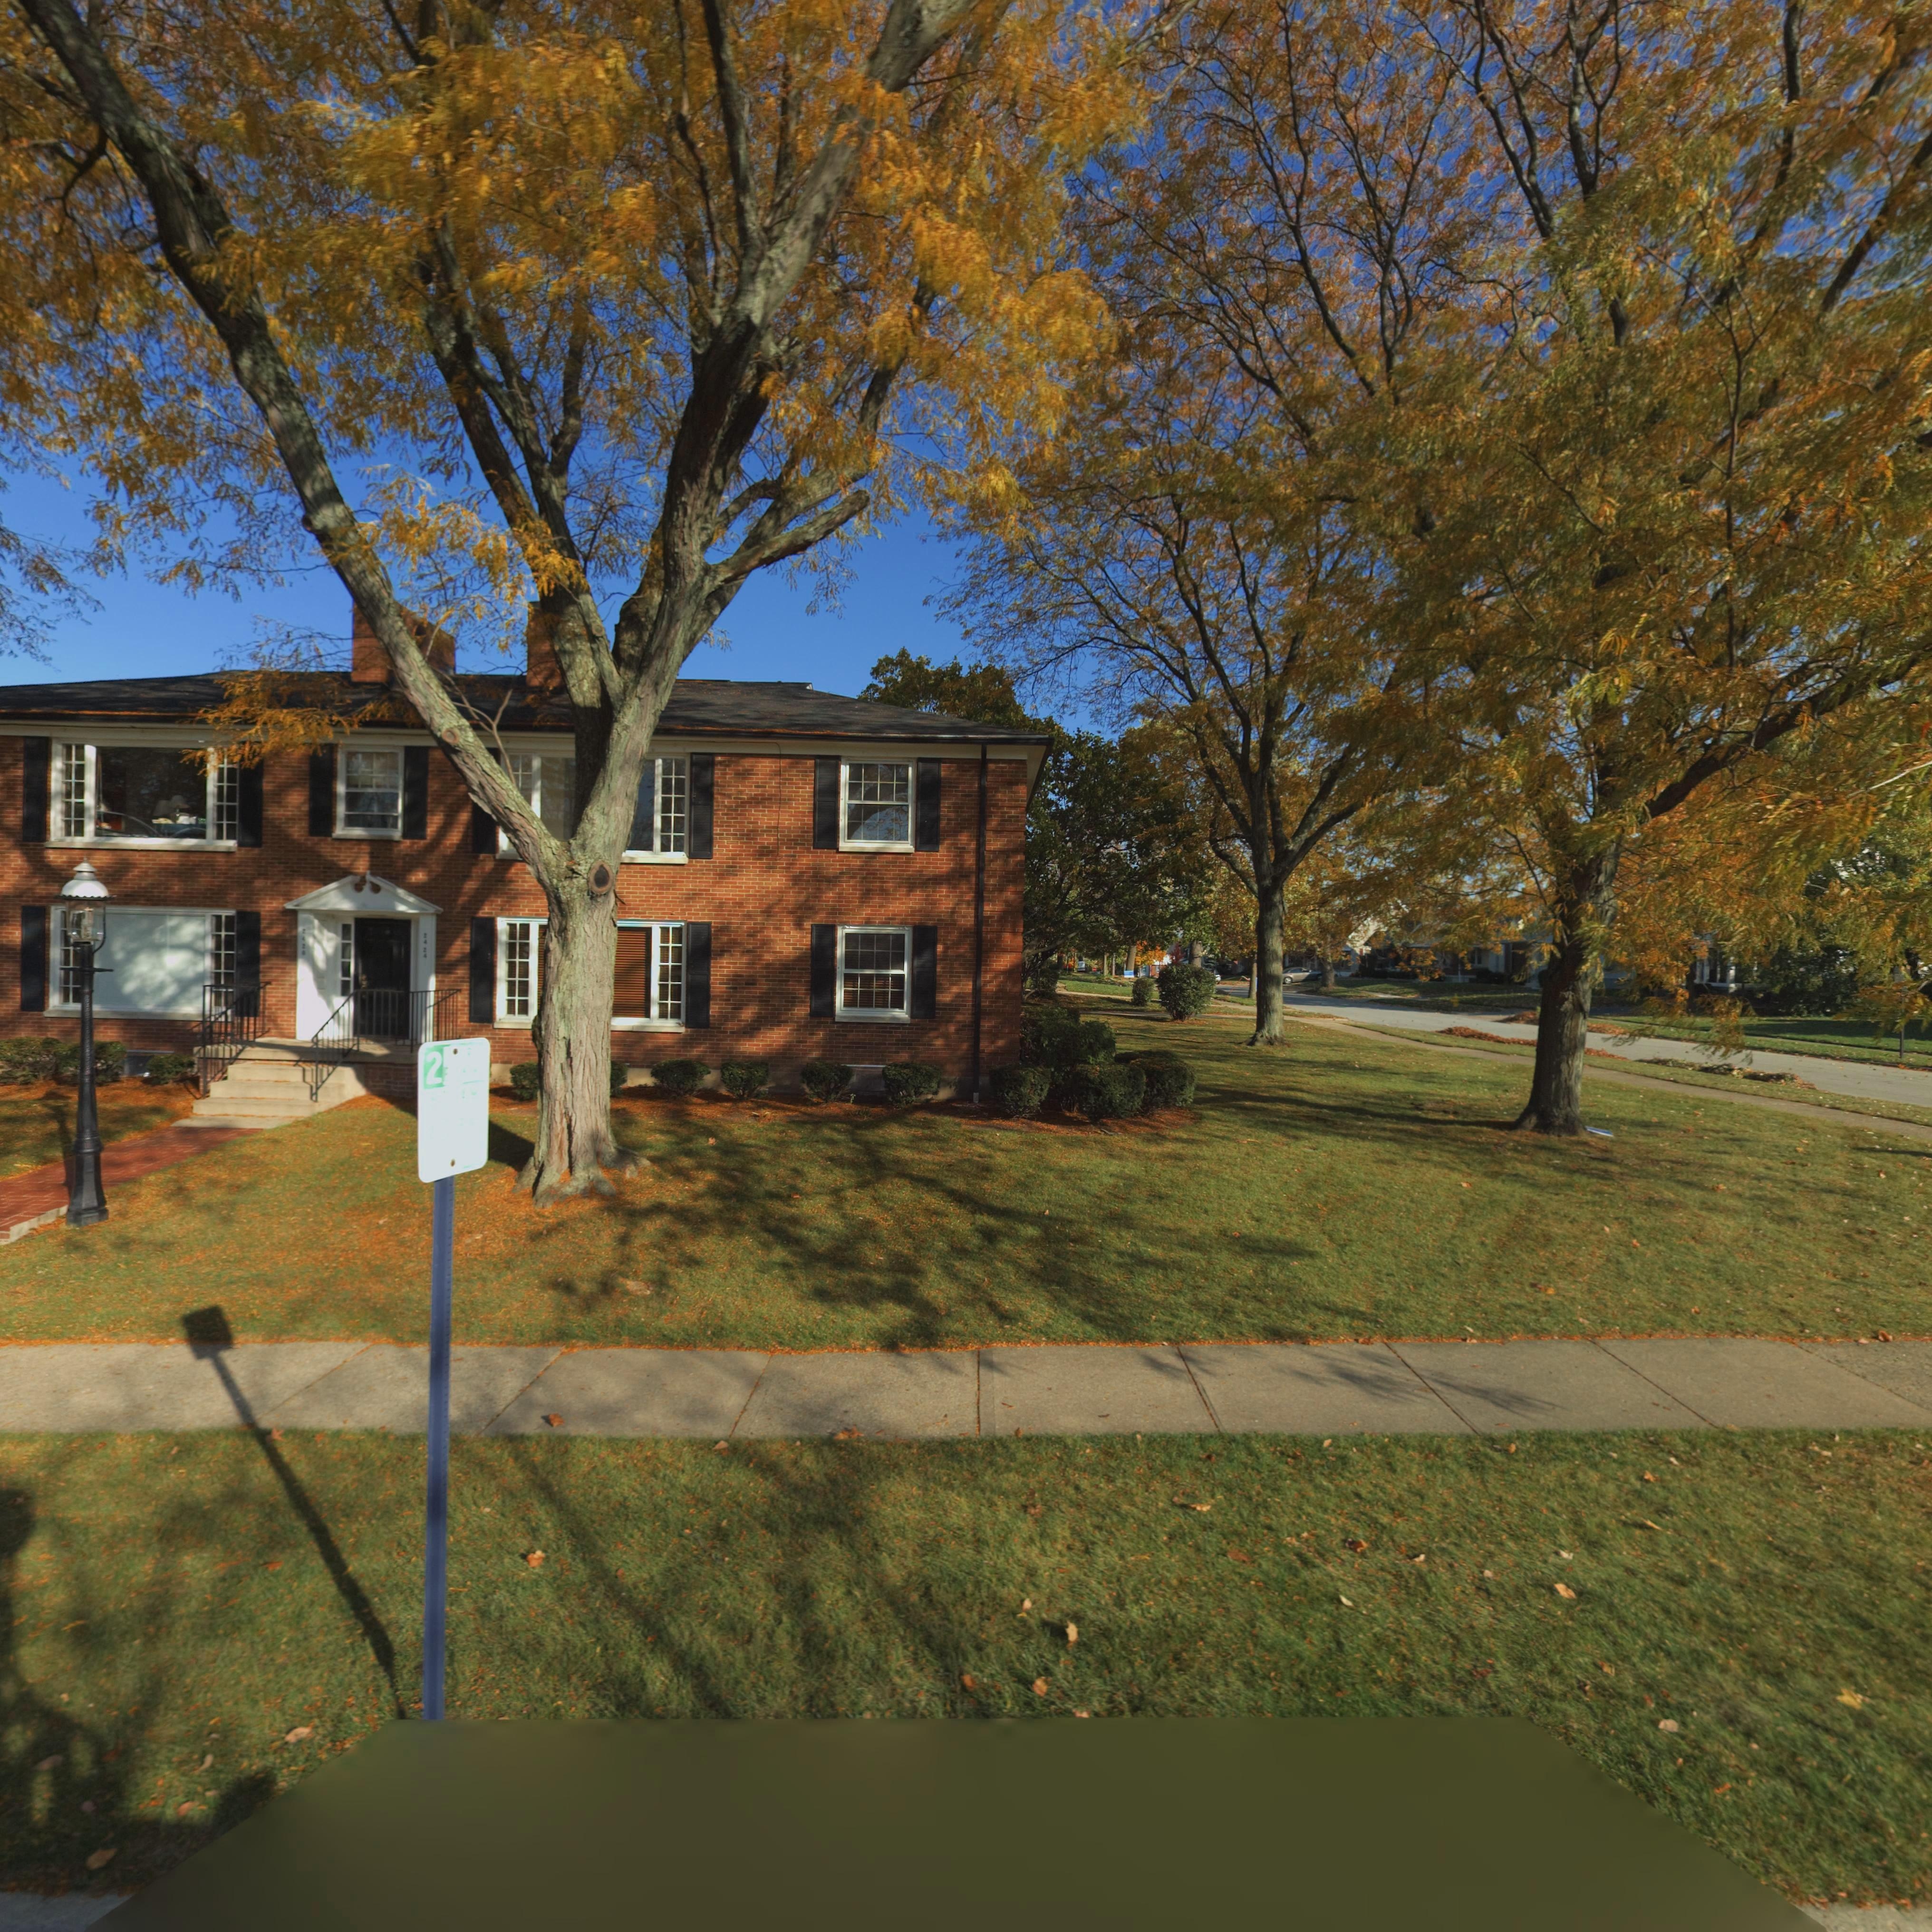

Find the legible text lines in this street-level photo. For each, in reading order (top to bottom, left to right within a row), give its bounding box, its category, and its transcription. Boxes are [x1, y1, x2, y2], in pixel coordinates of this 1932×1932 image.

[299, 926, 308, 957] StreetNumber: 242*
[421, 930, 429, 960] StreetNumber: 2424
[424, 1048, 445, 1088] None: 2